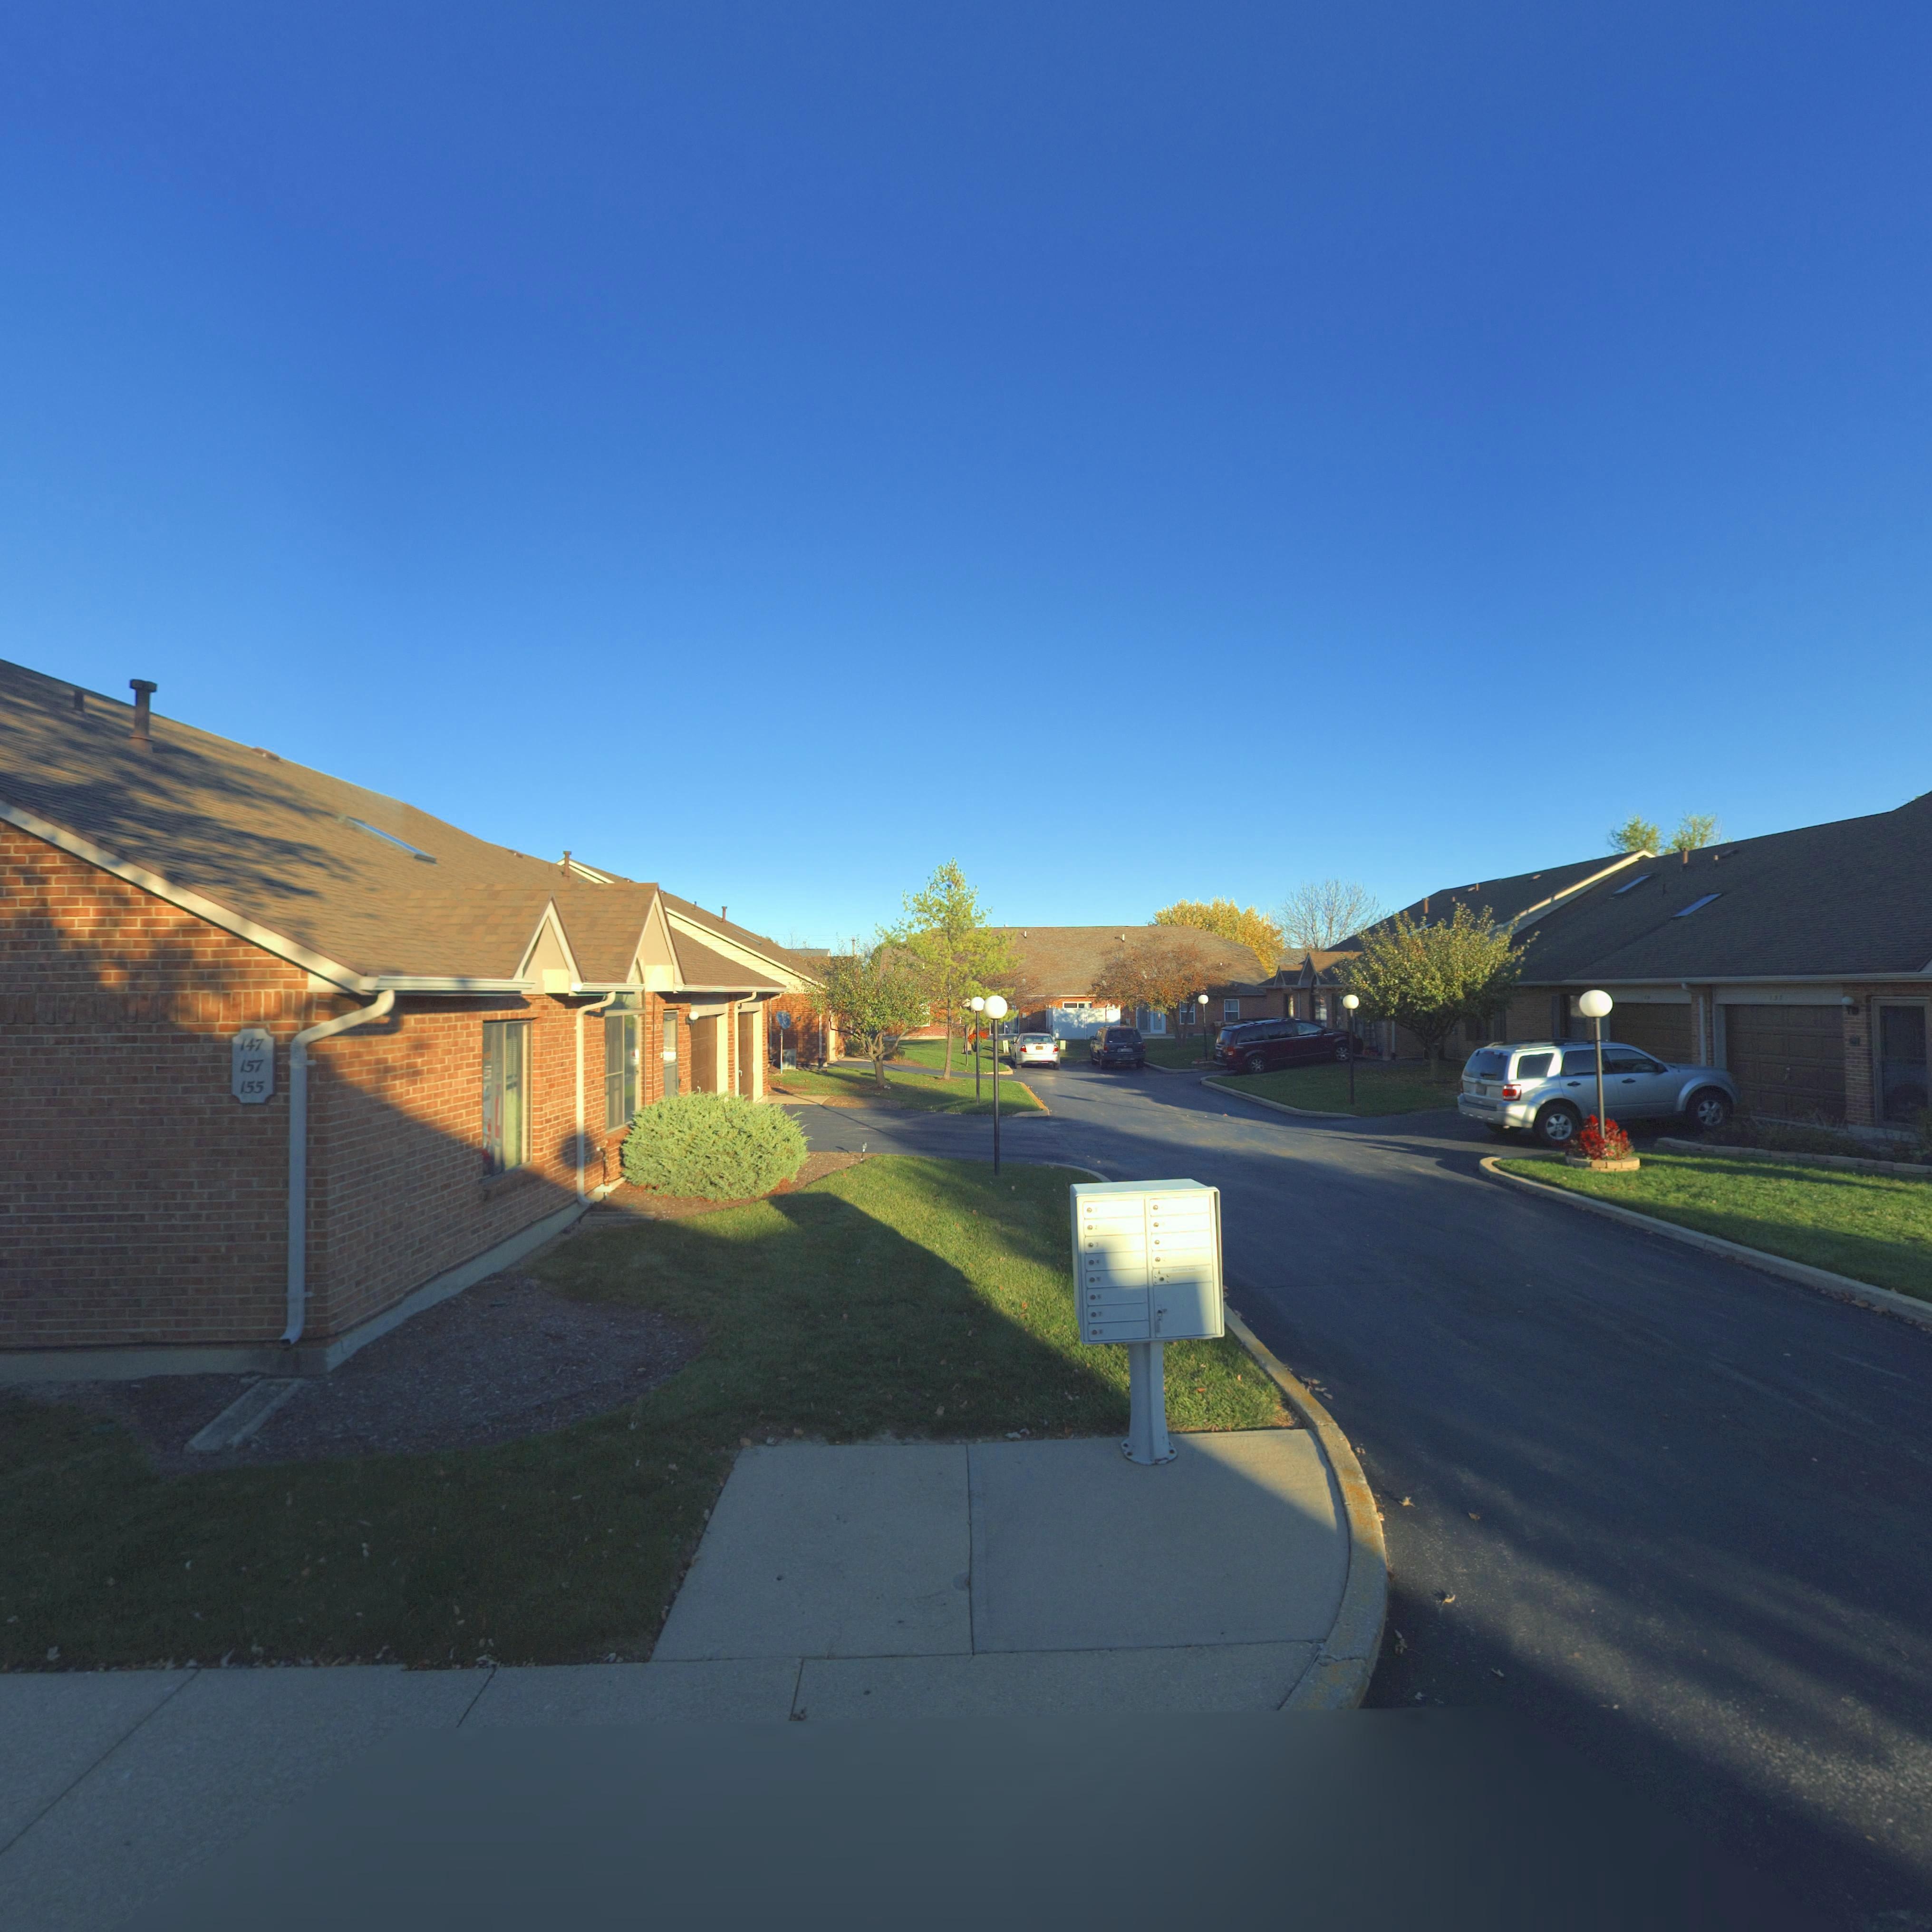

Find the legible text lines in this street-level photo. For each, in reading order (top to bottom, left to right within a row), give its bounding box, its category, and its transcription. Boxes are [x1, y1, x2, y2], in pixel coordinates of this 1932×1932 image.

[239, 1037, 267, 1053] StreetNumber: 147
[238, 1058, 266, 1076] StreetNumber: 157
[238, 1079, 266, 1095] StreetNumber: 155